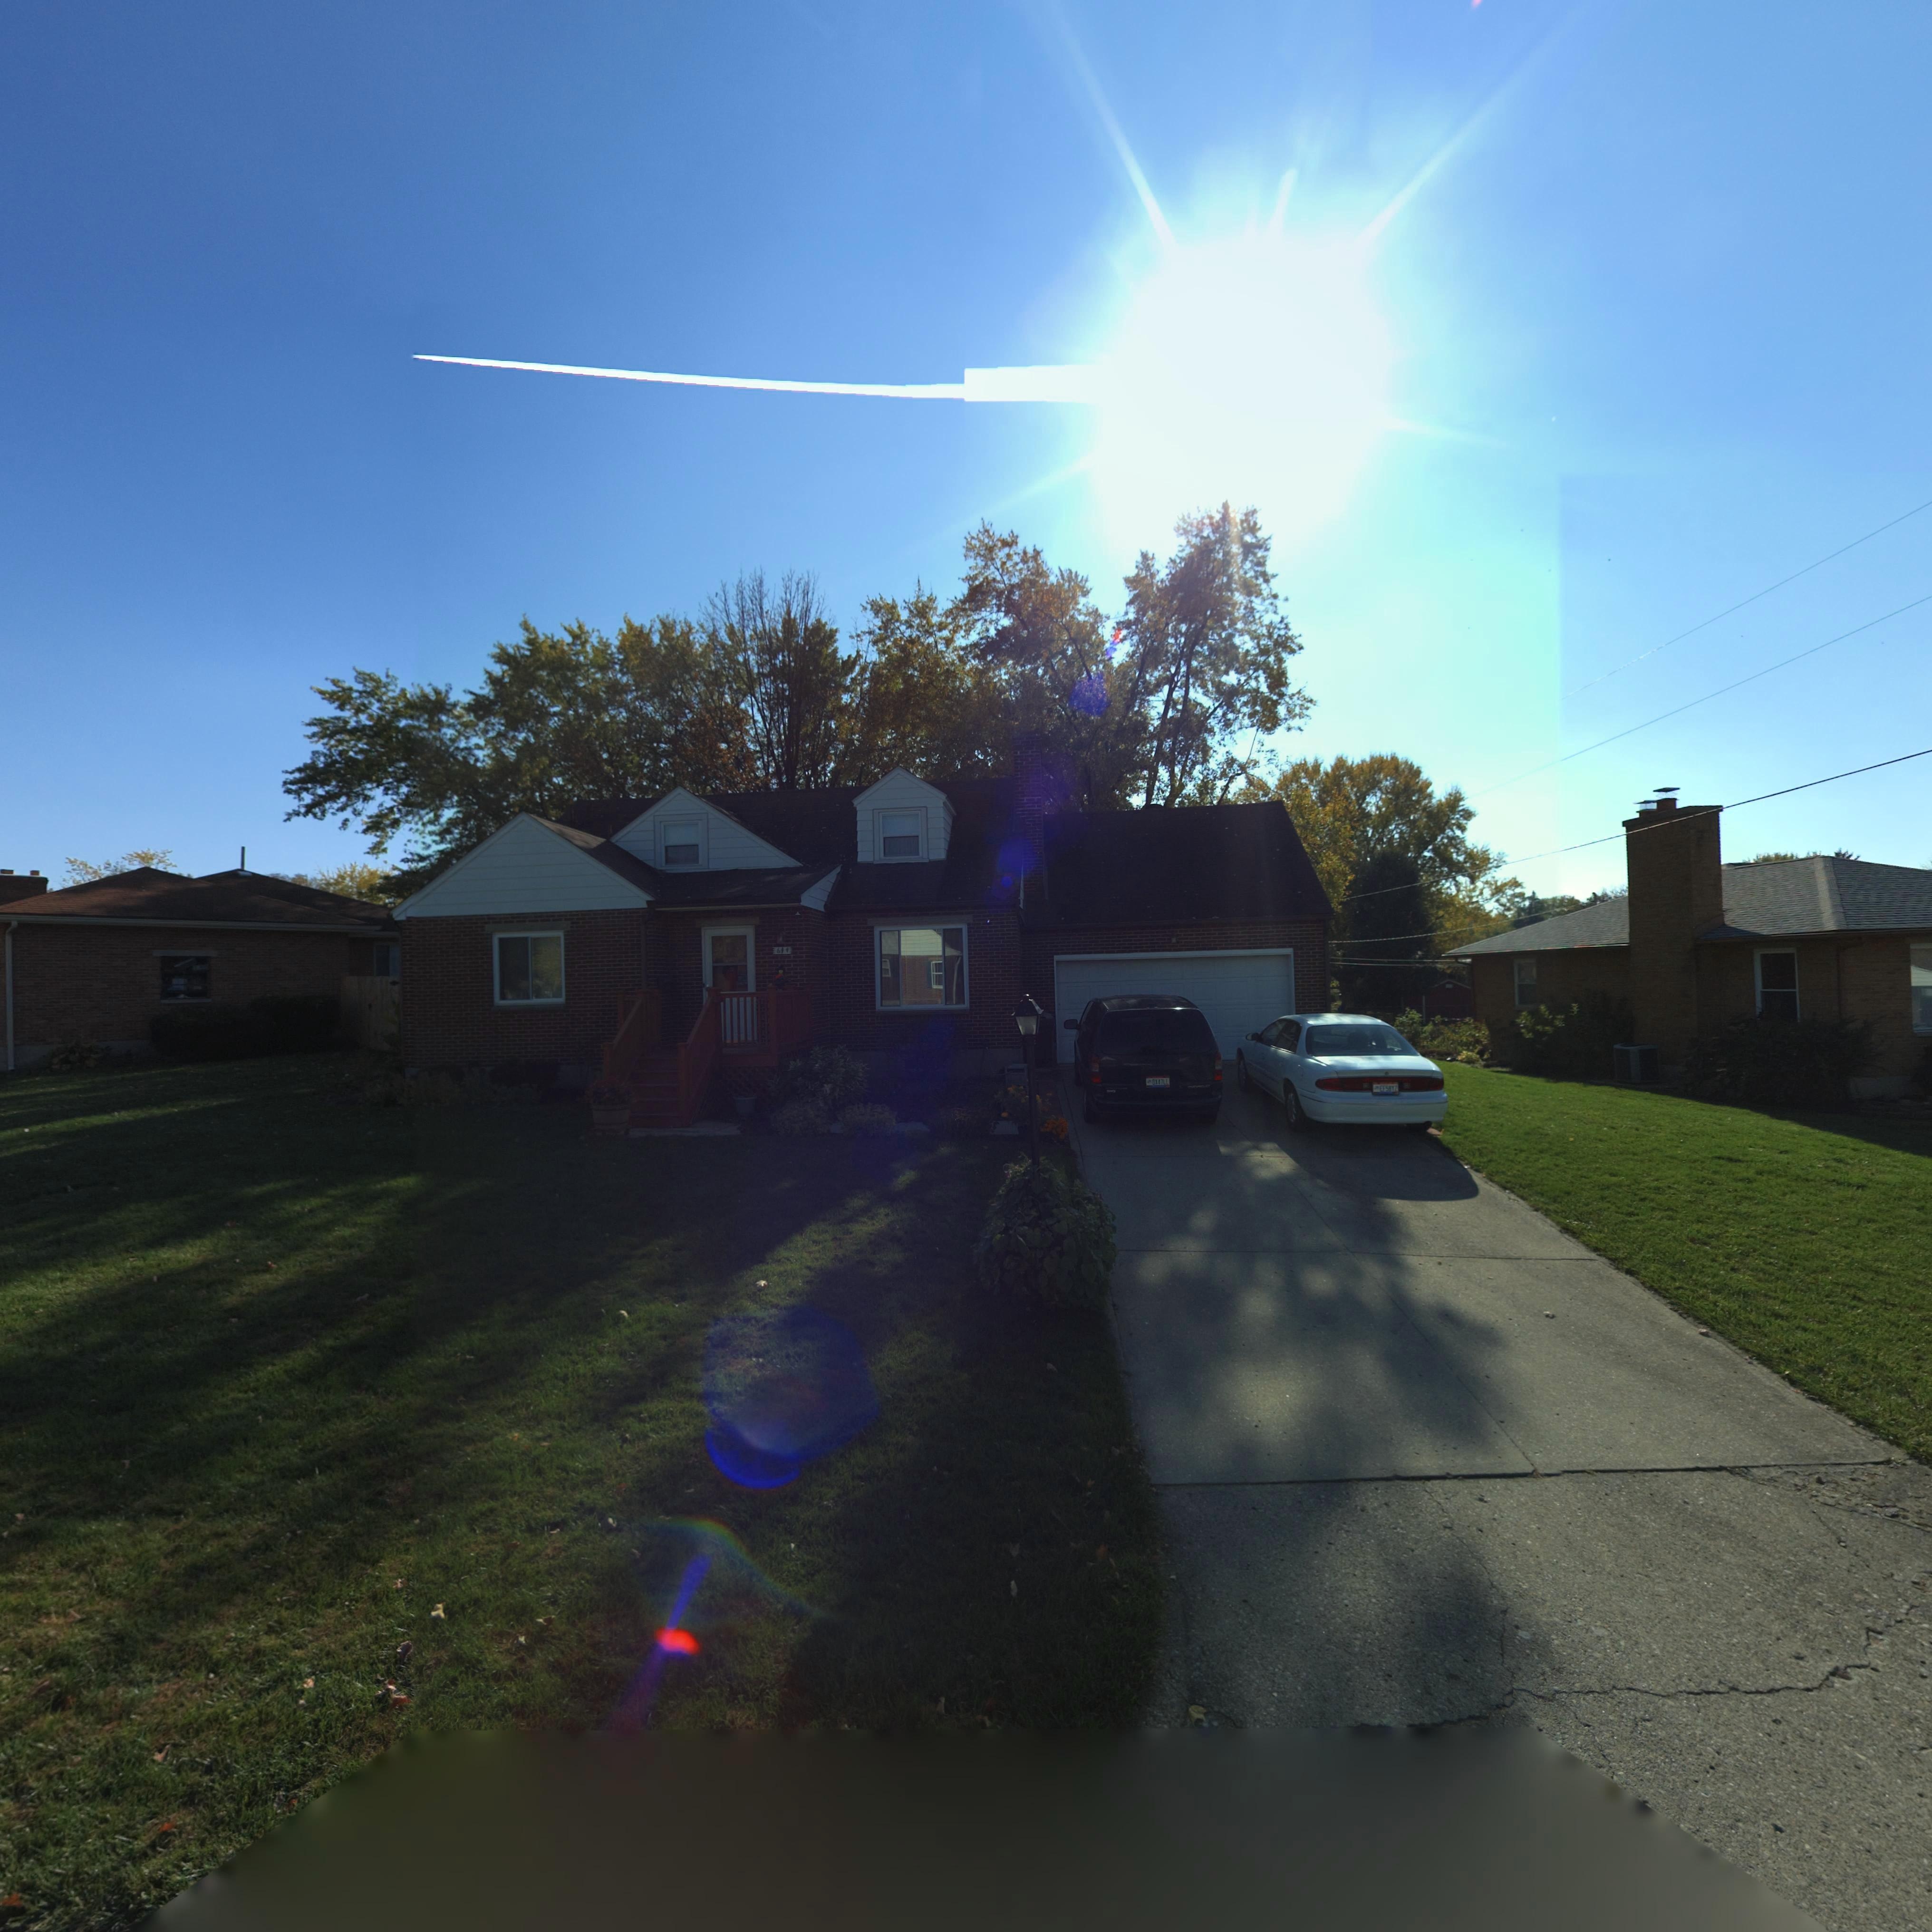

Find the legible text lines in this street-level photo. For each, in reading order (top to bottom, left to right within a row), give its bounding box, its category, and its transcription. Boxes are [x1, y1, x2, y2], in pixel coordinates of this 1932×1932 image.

[776, 947, 790, 954] StreetNumber: 644
[1151, 1078, 1169, 1085] None: D*47LL
[1187, 1084, 1211, 1089] None: CHEV*OLET
[1379, 1084, 1398, 1092] None: EF58YZ